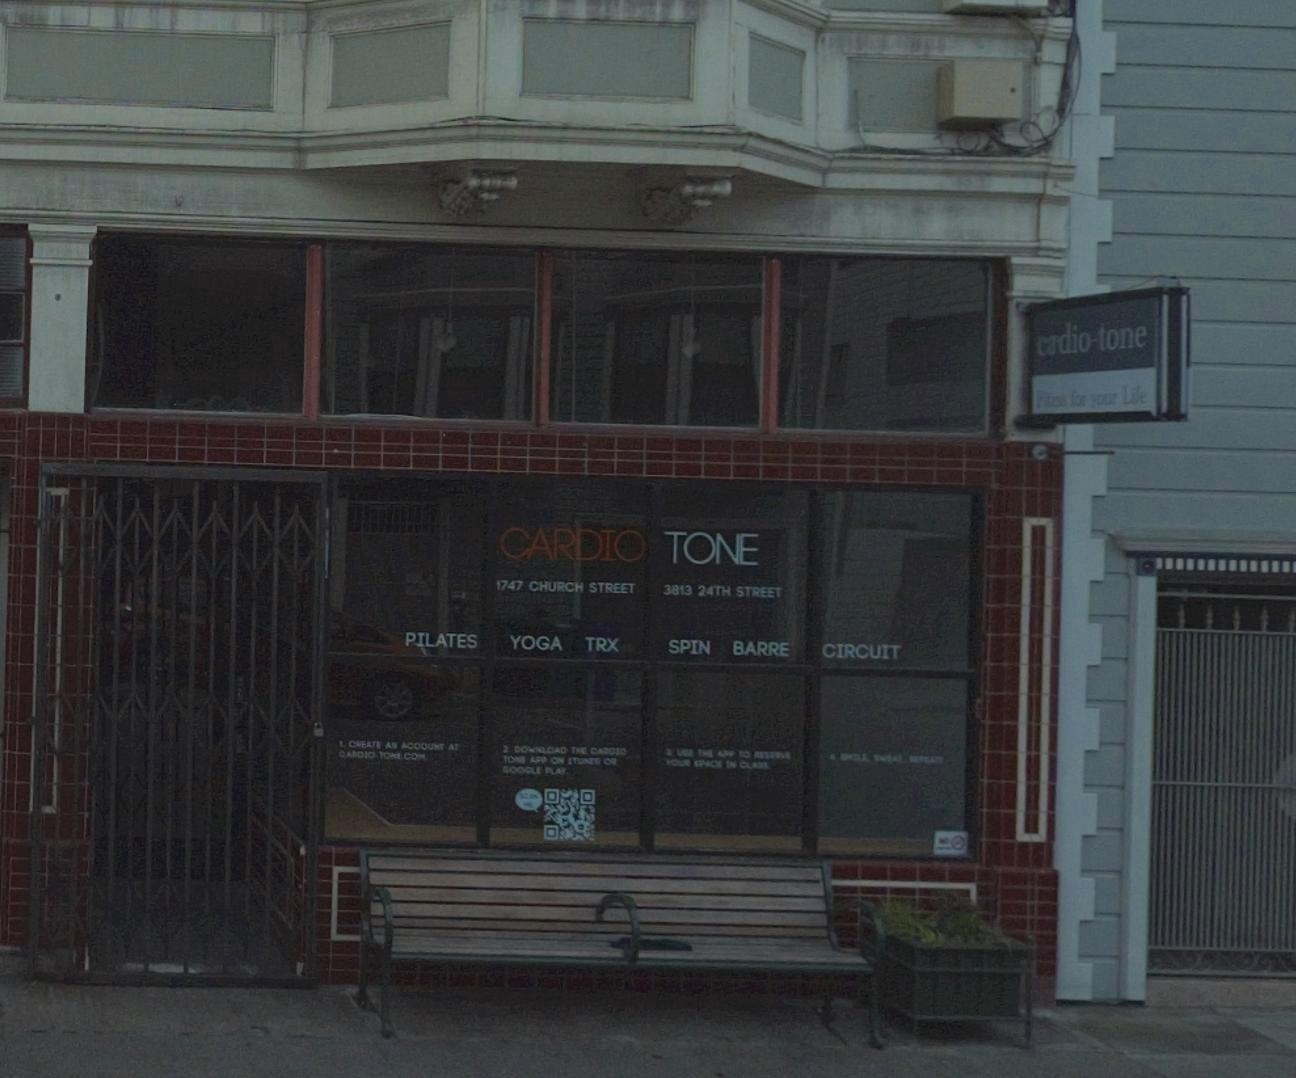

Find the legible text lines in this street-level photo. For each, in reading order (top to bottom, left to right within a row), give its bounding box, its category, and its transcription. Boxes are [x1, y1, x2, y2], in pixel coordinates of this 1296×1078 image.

[1034, 321, 1152, 360] BusinessName: cardio-tone
[1035, 379, 1151, 411] None: Fit**ss for your Life
[498, 524, 762, 569] BusinessName: CARDIO TONE
[494, 578, 525, 593] StreetNumber: 1747
[527, 578, 638, 595] StreetName: CHURCH STREET
[662, 582, 693, 597] StreetNumber: 3813
[697, 583, 783, 600] StreetName: 24TH STREET
[403, 629, 904, 662] None: PILATES YOGA TRX SPIN BARRE CIRCUIT
[337, 749, 427, 761] None: CARDIO-TONE.COM
[338, 738, 459, 752] None: 1. C**AT* AN ACCOUNT AT
[500, 755, 619, 768] None: TON* APP ON ITUN** OR
[501, 743, 632, 757] None: 2. DOW*LOAD THE CA**IO
[500, 765, 570, 777] None: GOOGLE PLAY